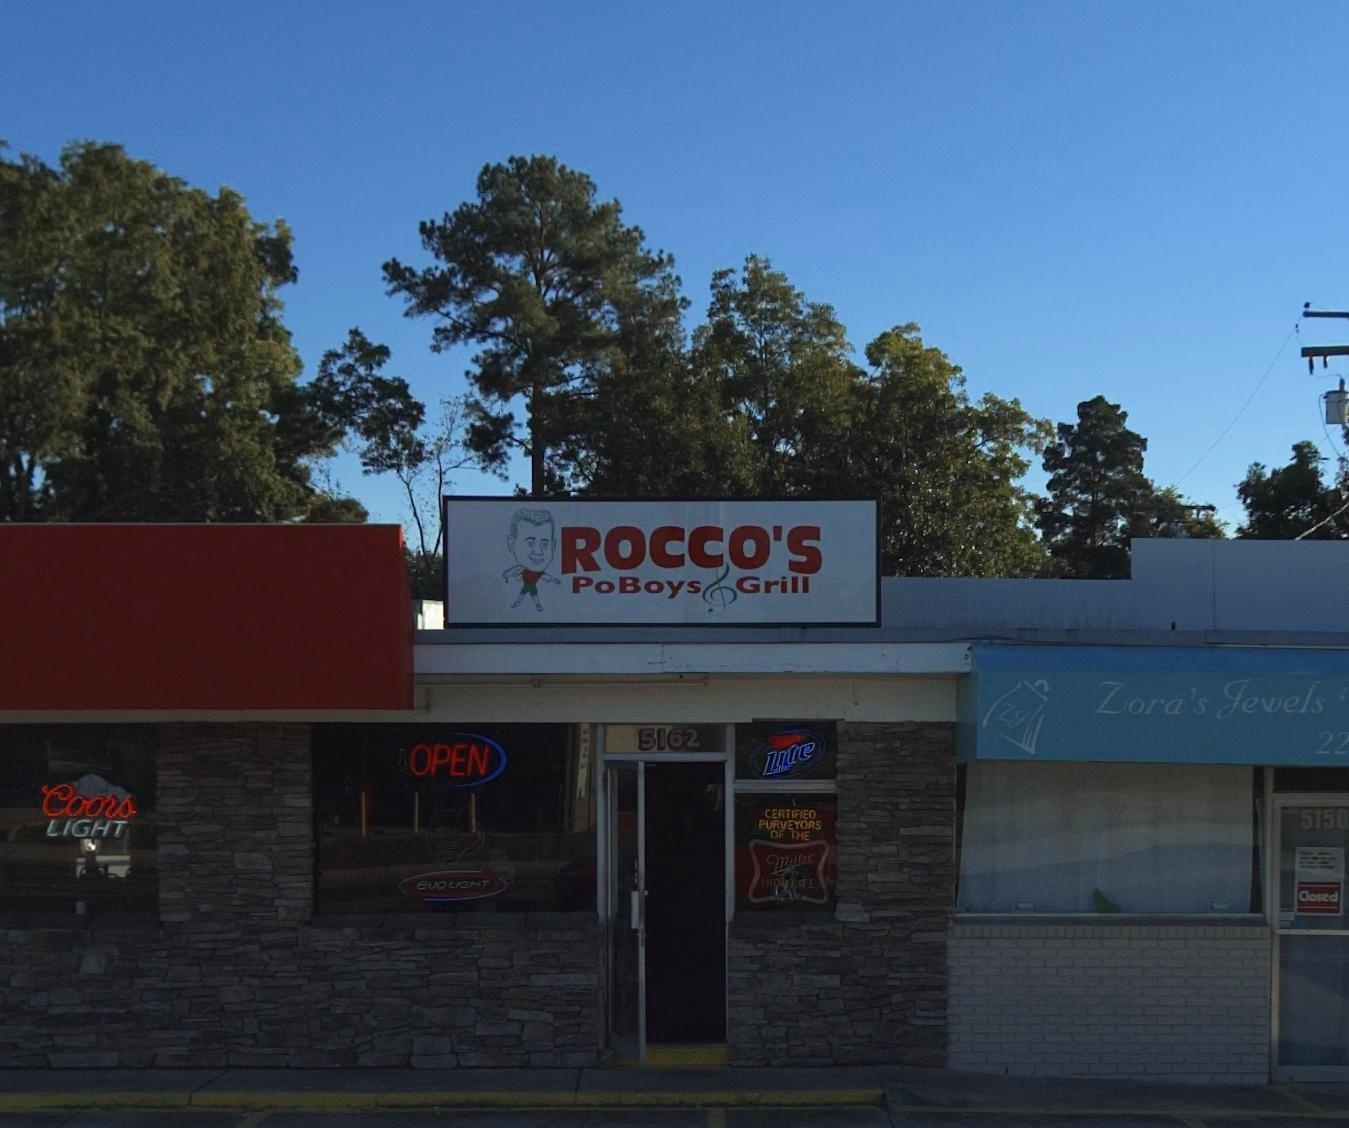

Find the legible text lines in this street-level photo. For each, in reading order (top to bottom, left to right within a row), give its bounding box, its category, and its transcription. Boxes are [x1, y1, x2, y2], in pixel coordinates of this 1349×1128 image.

[560, 525, 823, 576] BusinessName: ROCCO'S
[571, 560, 811, 617] BusinessName: PoBoys & Grill
[1092, 678, 1328, 720] BusinessName: Zora's Jewels
[993, 700, 1034, 731] None: ZJ
[637, 727, 701, 752] None: 5162
[1314, 730, 1349, 755] None: 22
[409, 742, 490, 778] StreetNumber: OPEN
[757, 738, 820, 778] None: Lite
[45, 818, 130, 839] None: LIGHT
[41, 782, 138, 818] None: Coors
[757, 818, 822, 831] None: PURVEYORS
[767, 829, 812, 842] None: OF THE
[763, 804, 818, 820] None: CERTIFIED
[1300, 807, 1349, 831] StreetNumber: 5150
[762, 851, 816, 874] None: Miller
[414, 878, 493, 891] None: BUD LIGHT
[760, 877, 816, 889] None: HIG* LIFE
[1298, 889, 1339, 903] None: Closed